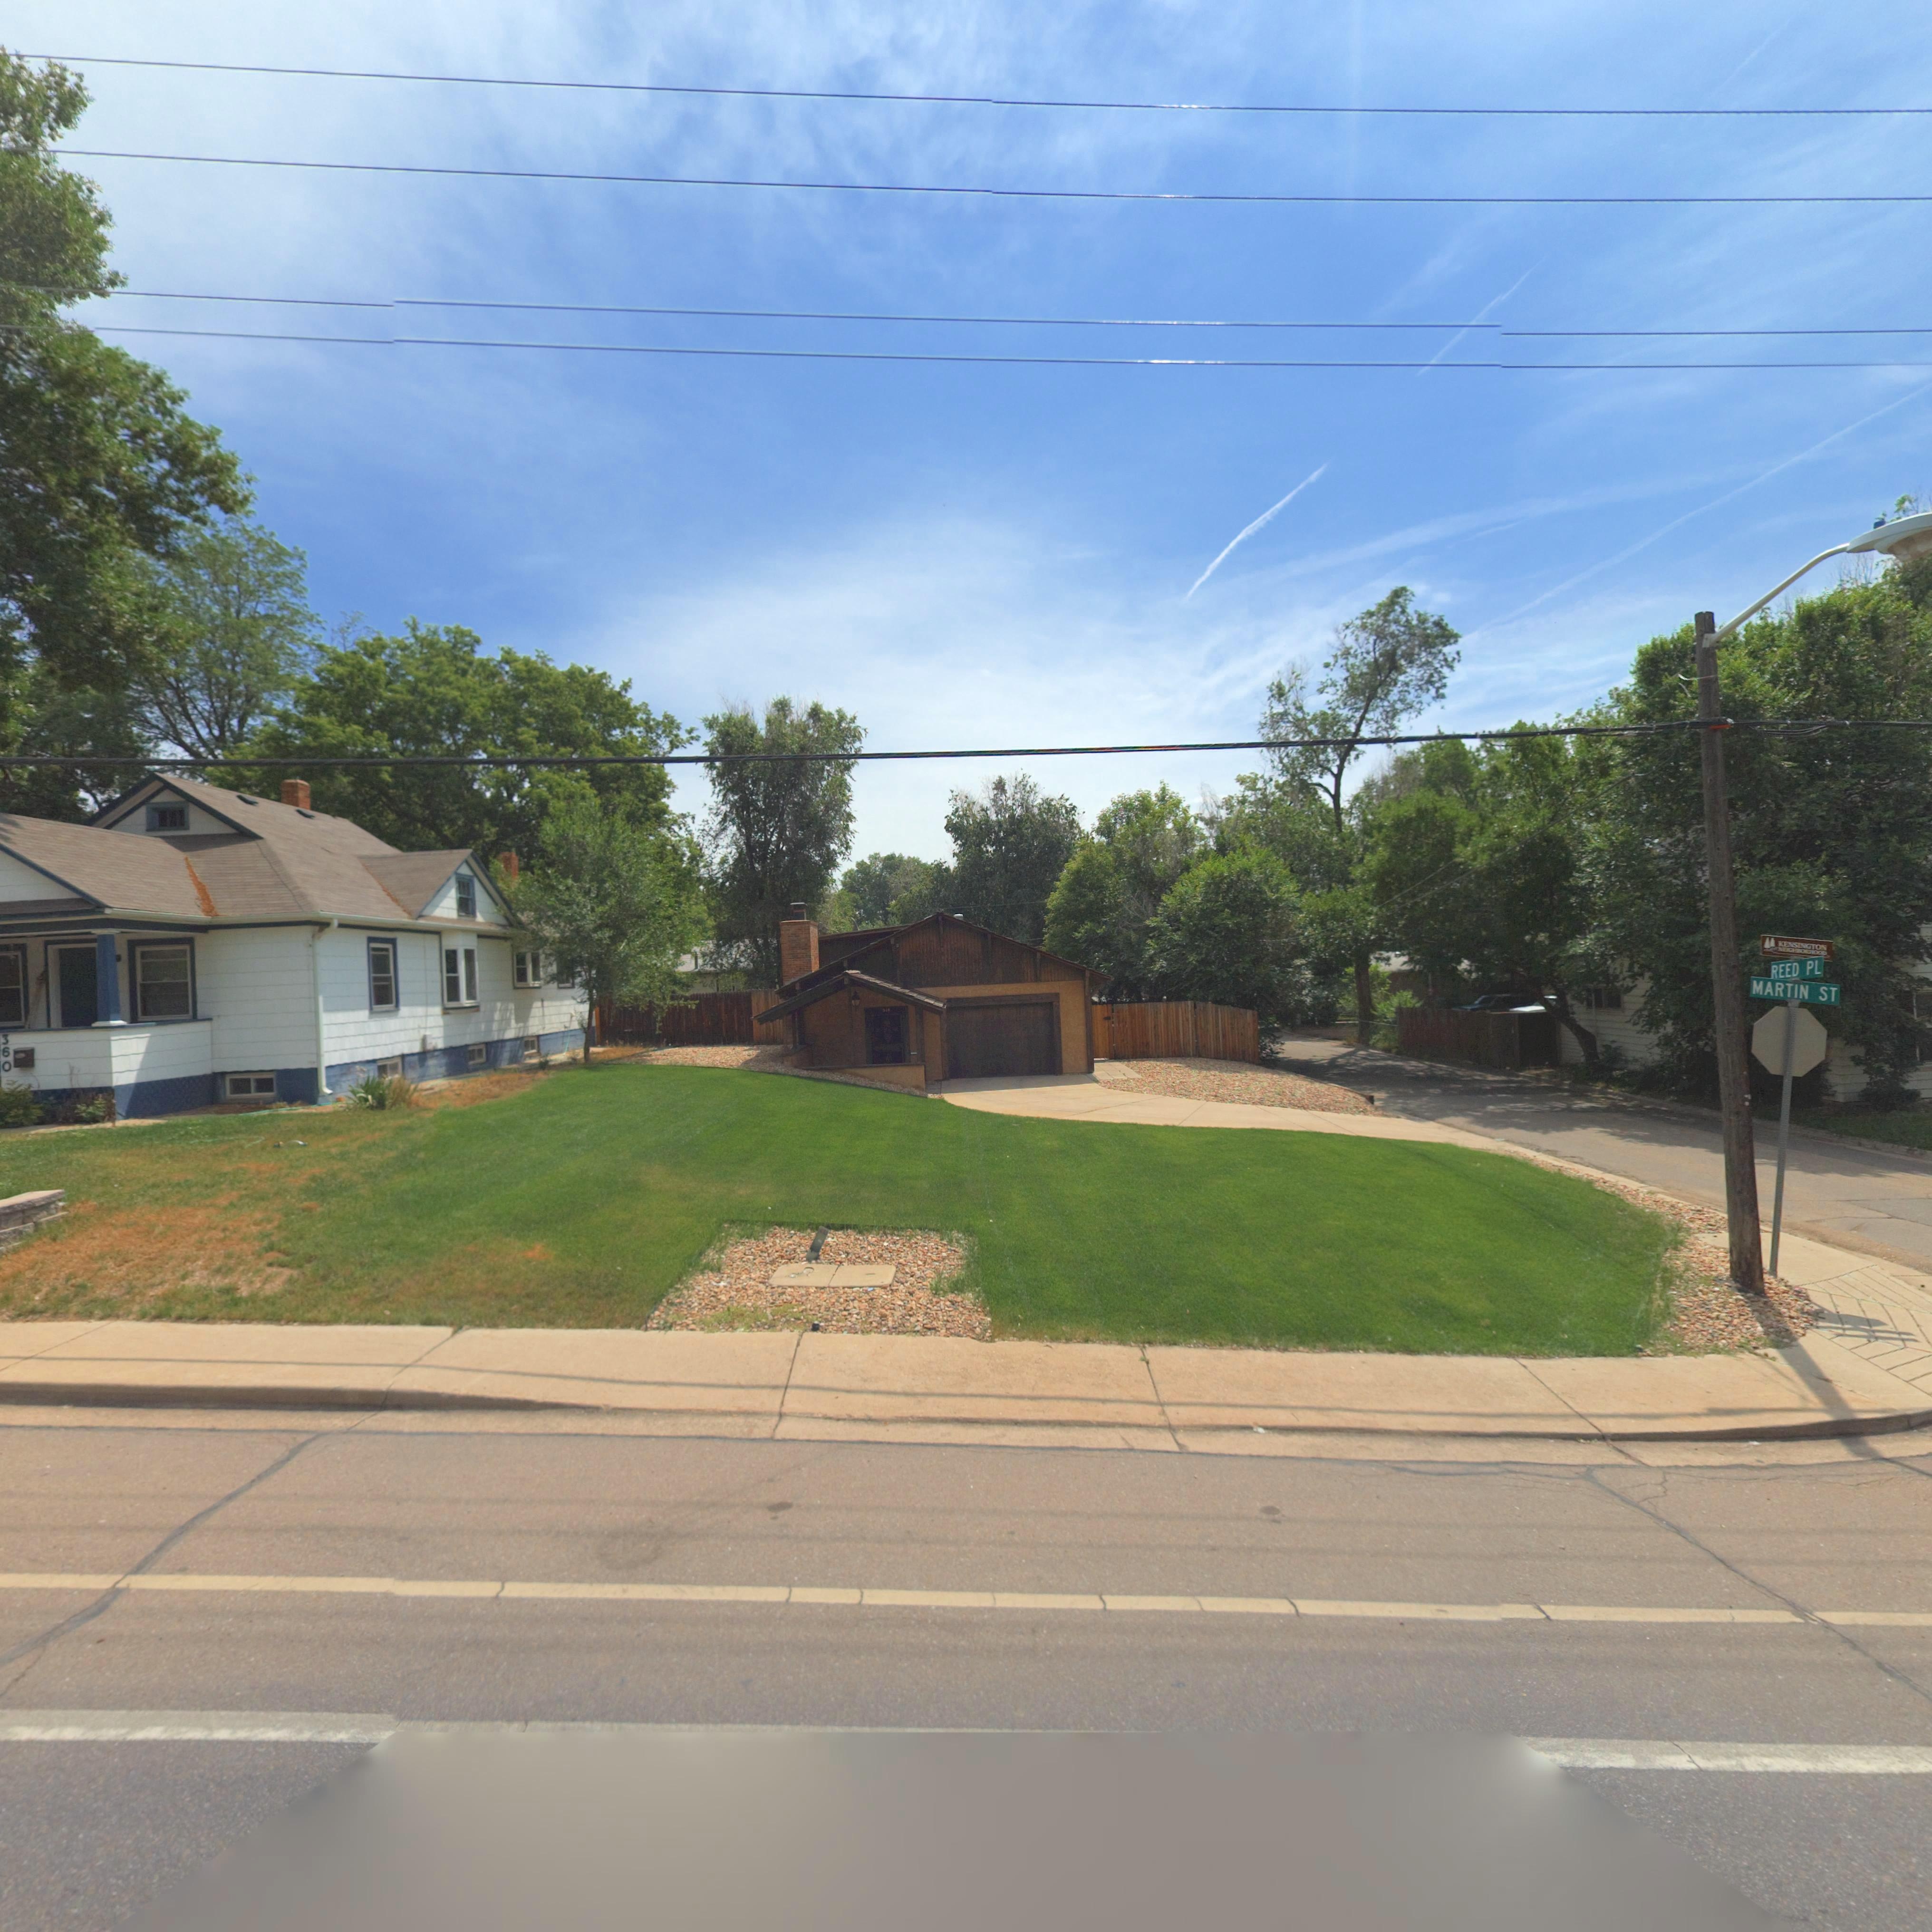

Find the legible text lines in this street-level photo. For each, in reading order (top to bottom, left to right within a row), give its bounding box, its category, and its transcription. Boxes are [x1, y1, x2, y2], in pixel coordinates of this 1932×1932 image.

[1770, 959, 1822, 979] StreetName: REED PL
[1751, 978, 1839, 1003] StreetNumberRange: MARTIN ST
[1, 1033, 12, 1073] StreetNumber: 360